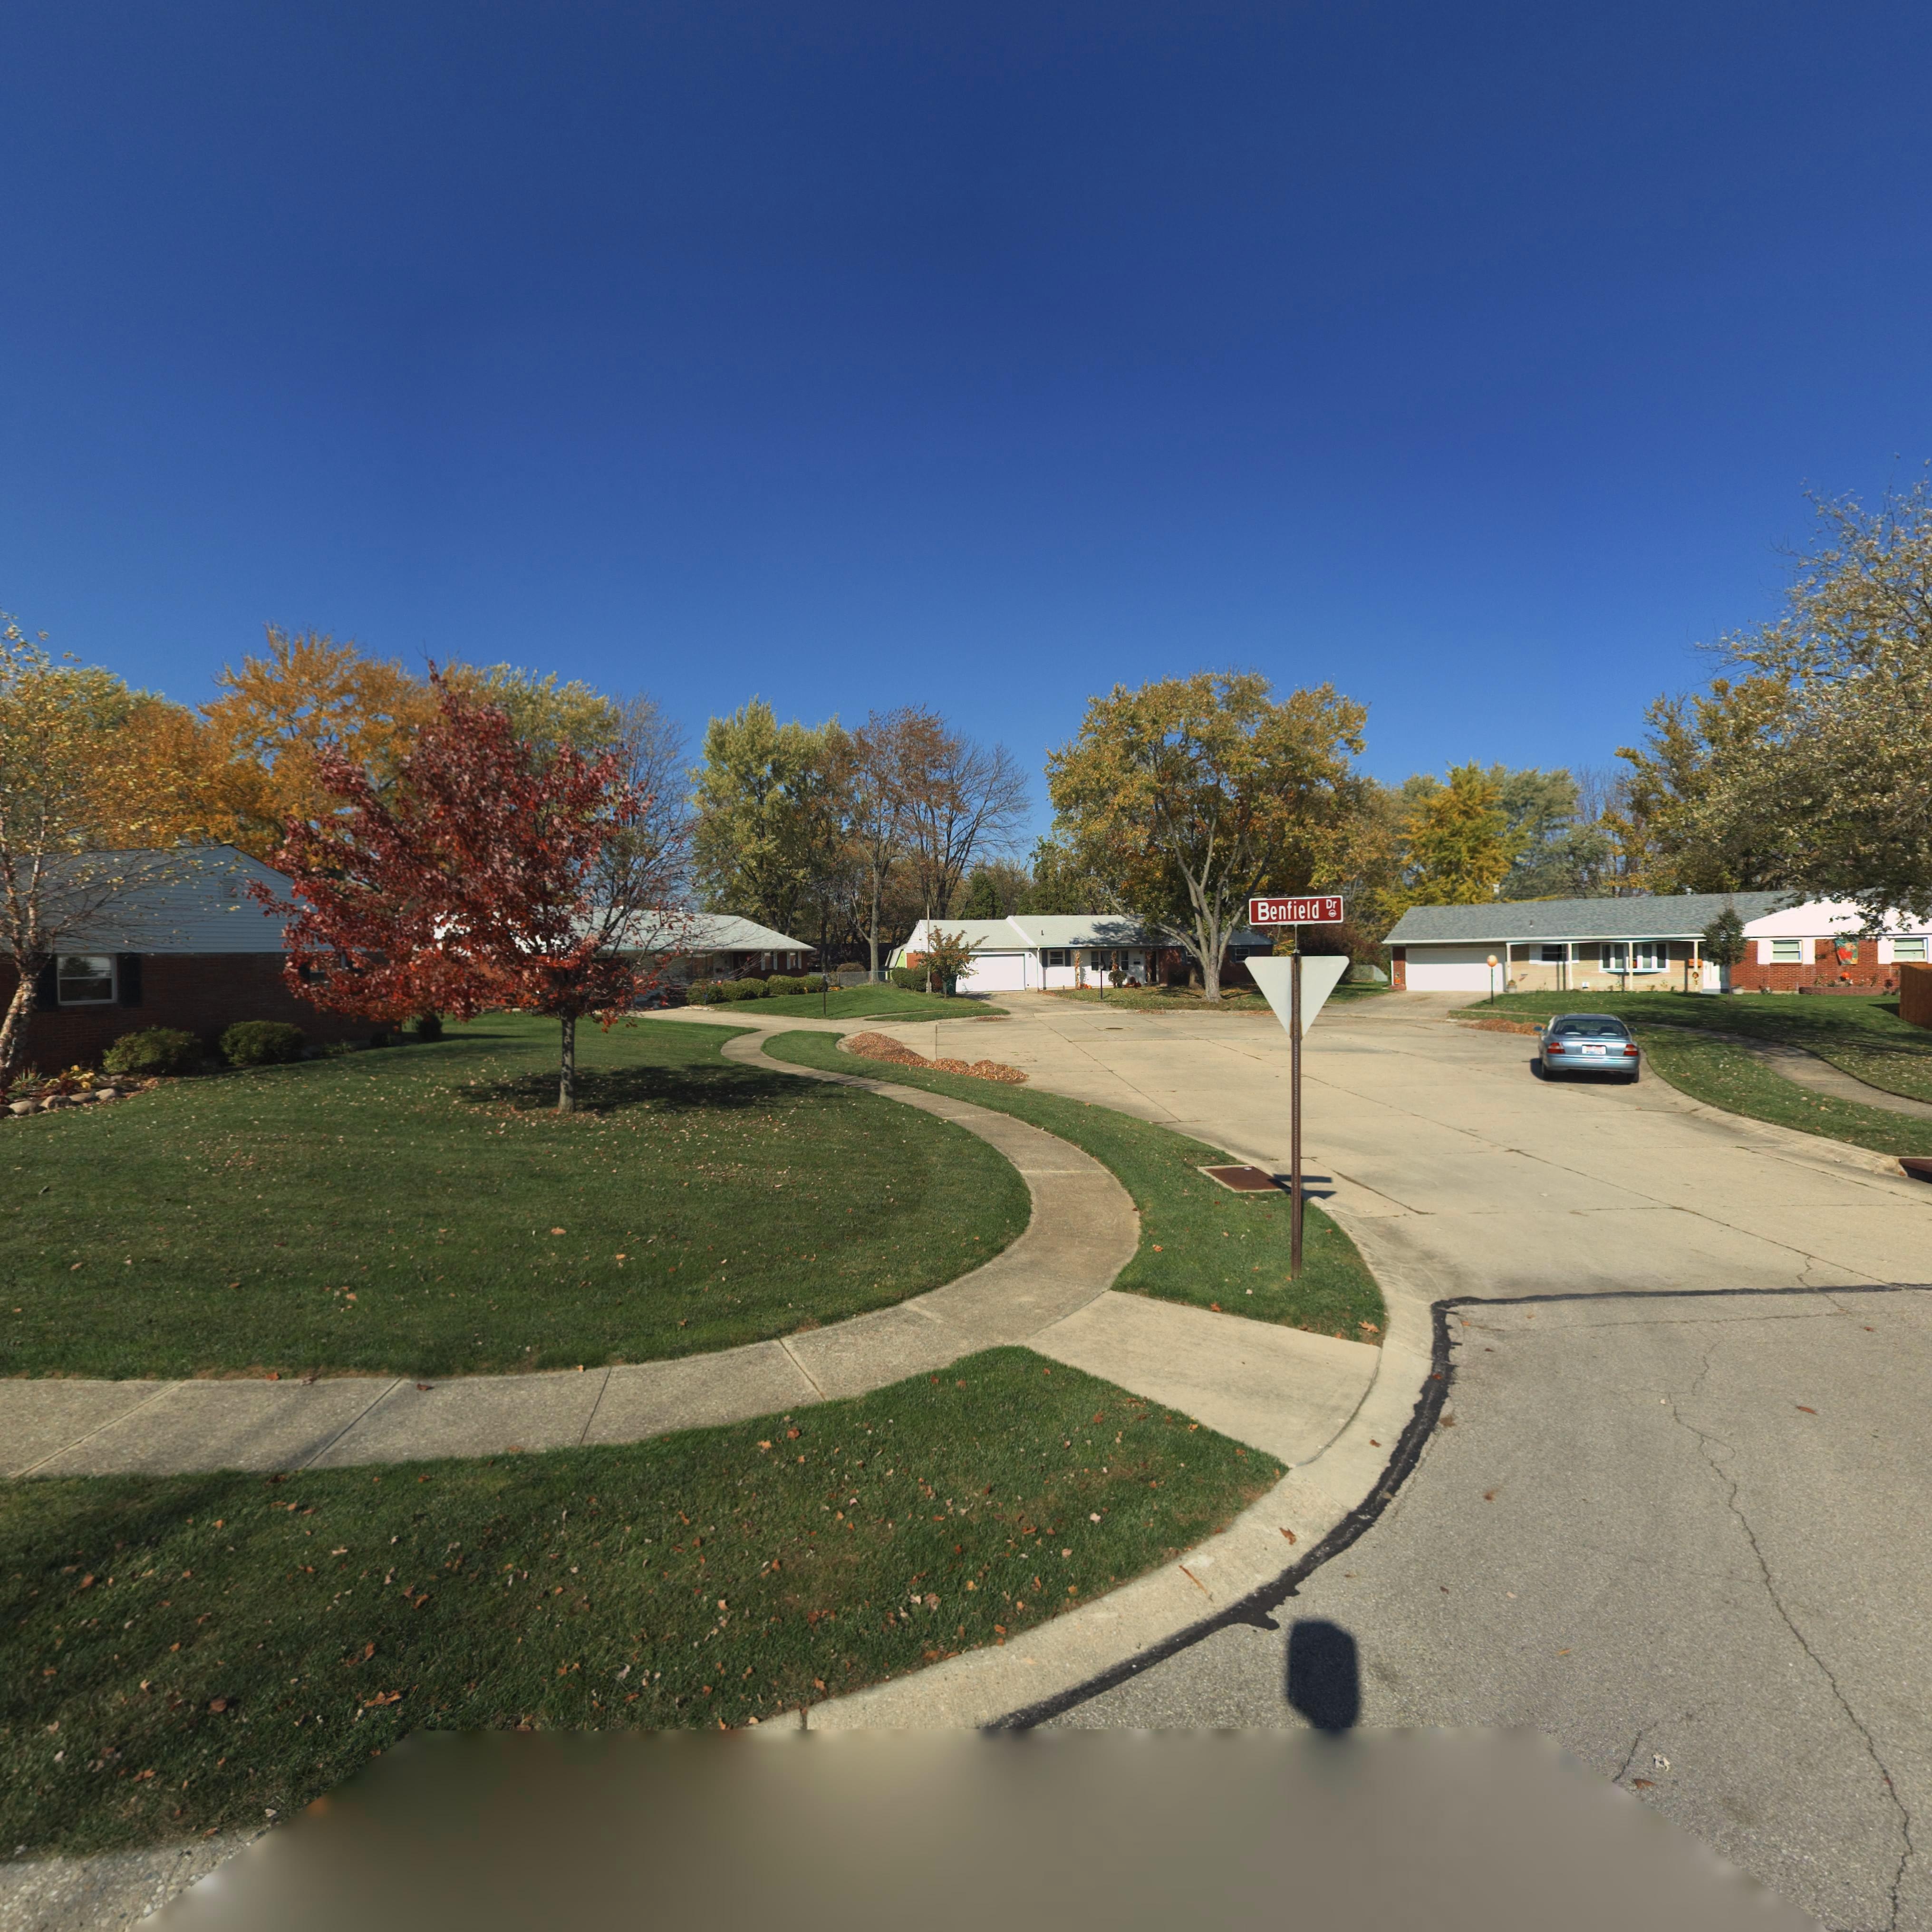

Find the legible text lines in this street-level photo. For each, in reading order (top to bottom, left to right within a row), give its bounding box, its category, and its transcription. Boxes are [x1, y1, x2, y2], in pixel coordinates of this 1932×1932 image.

[1257, 898, 1338, 921] StreetName: Benfield Dr